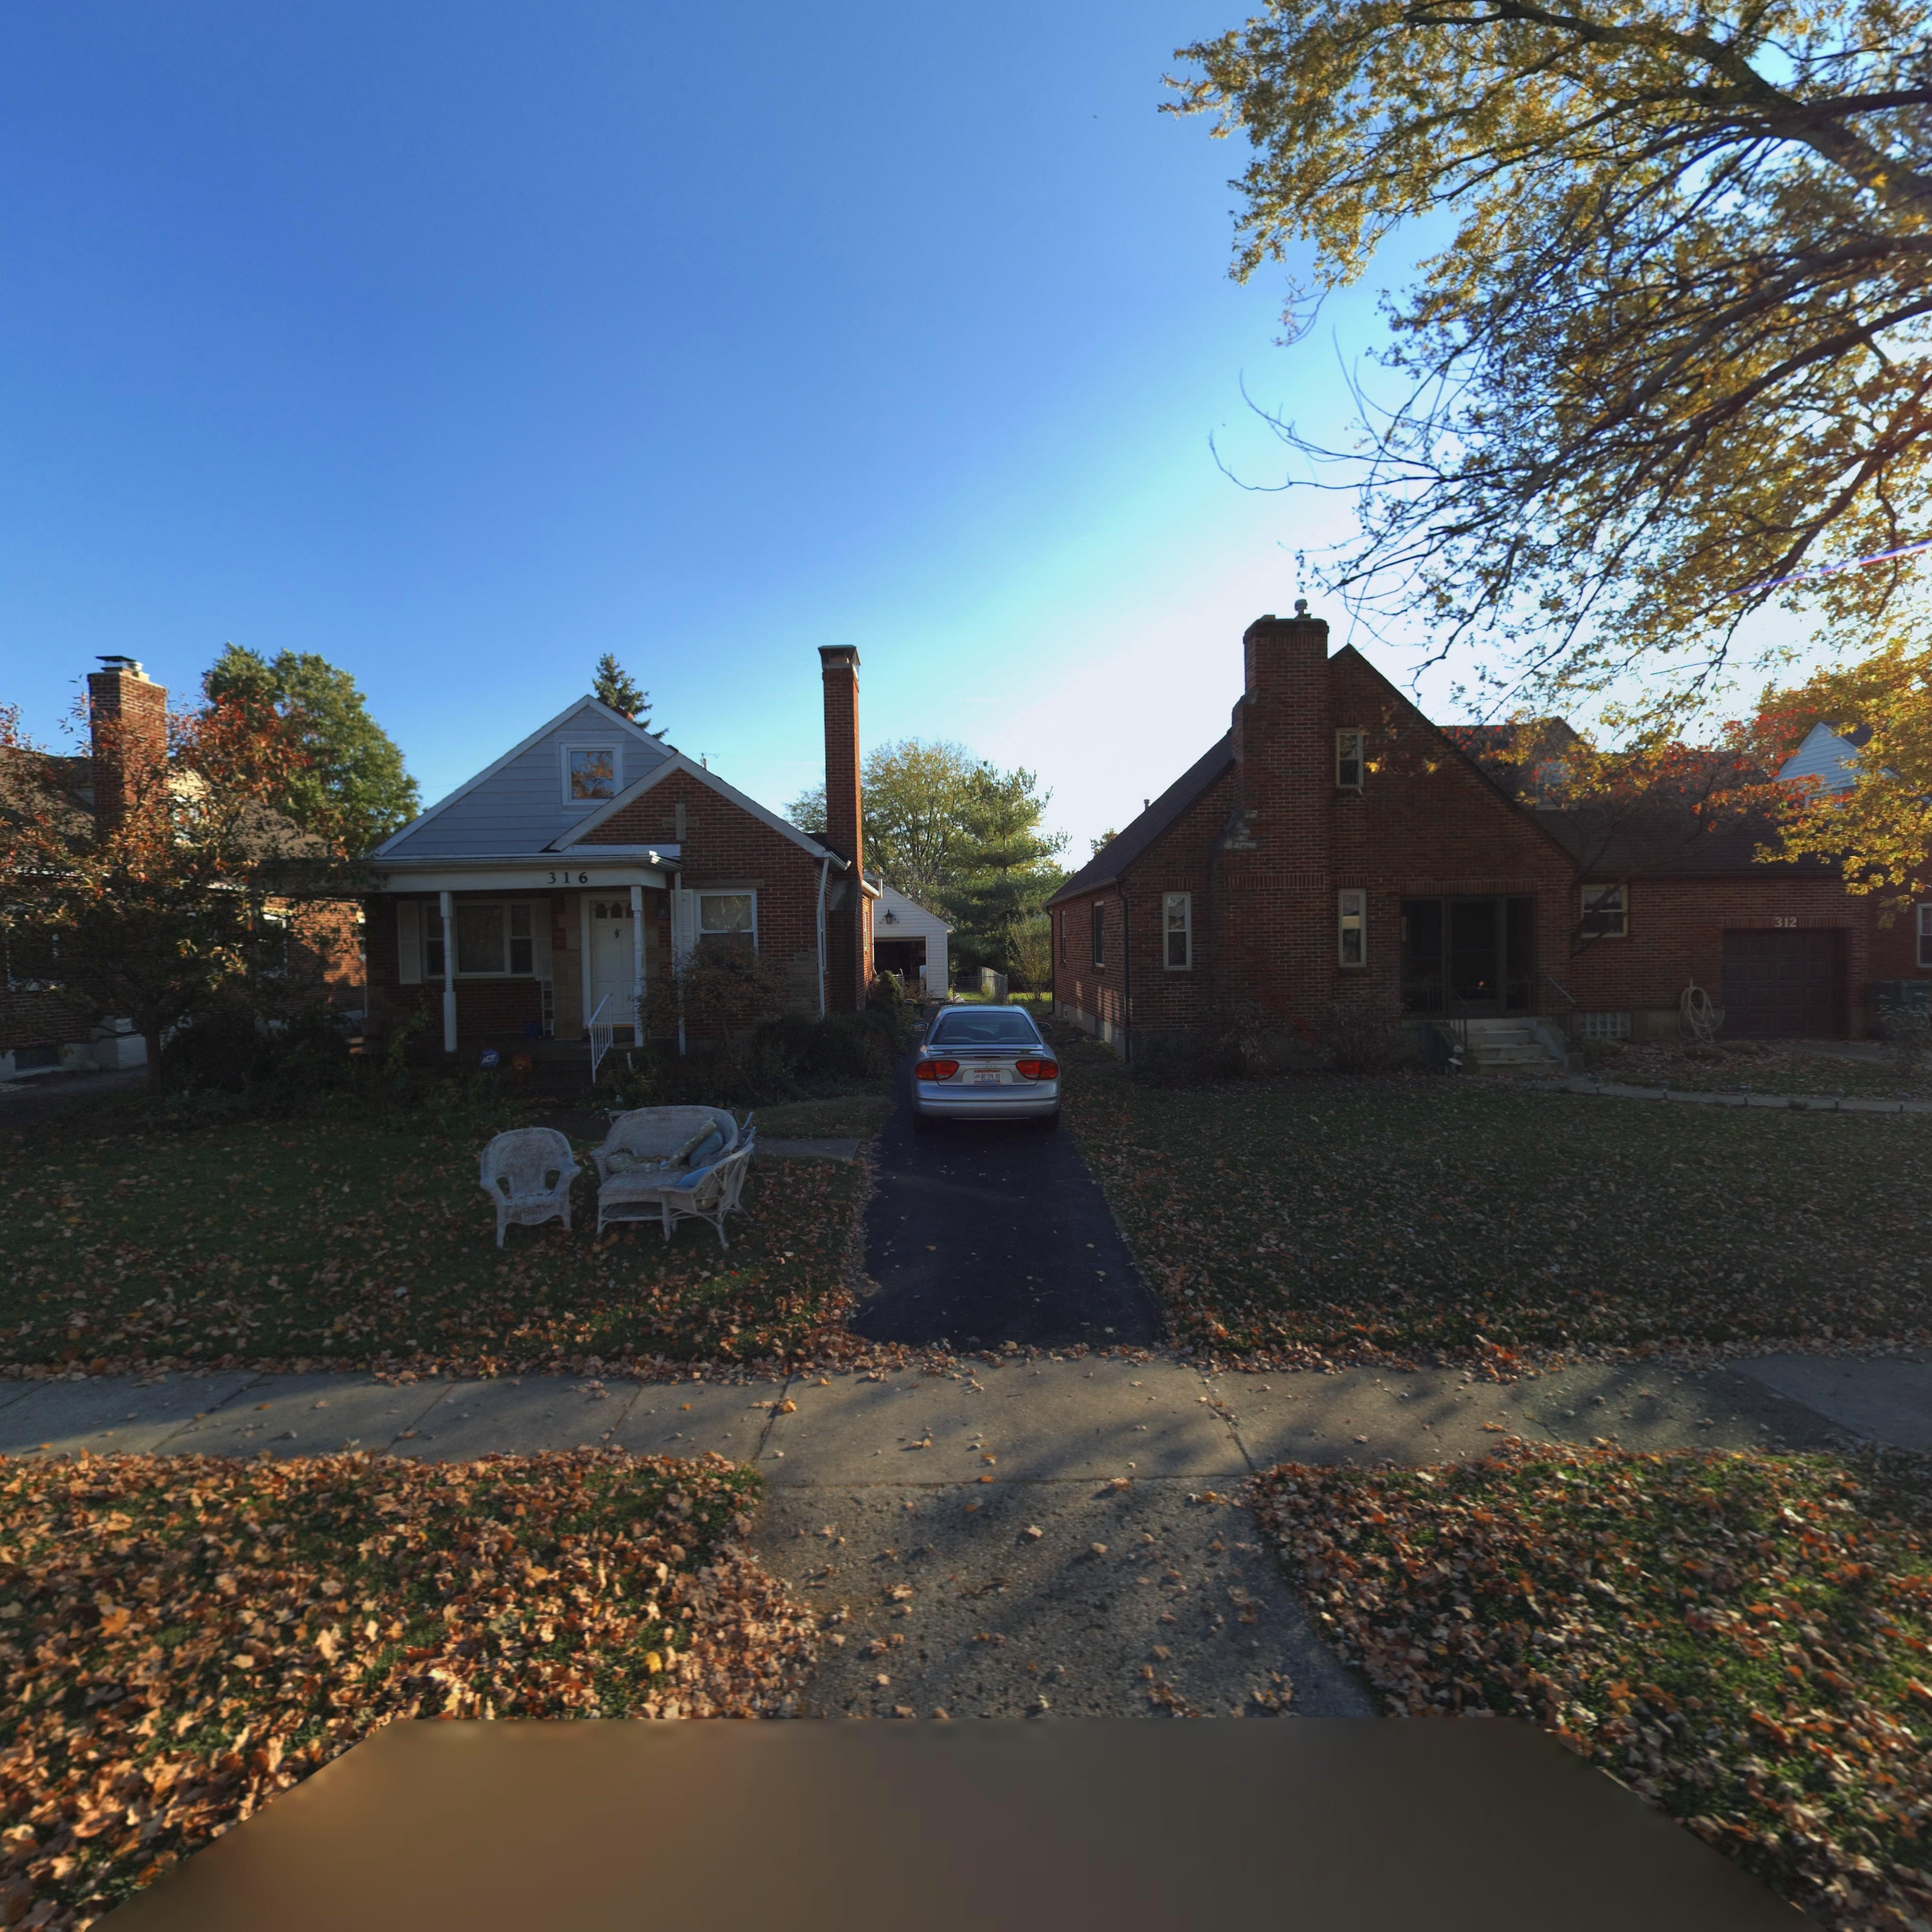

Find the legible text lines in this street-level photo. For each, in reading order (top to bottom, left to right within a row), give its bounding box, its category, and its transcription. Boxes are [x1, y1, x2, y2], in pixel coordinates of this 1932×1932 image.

[546, 869, 589, 886] StreetNumber: 316
[1773, 916, 1798, 929] StreetNumber: 312